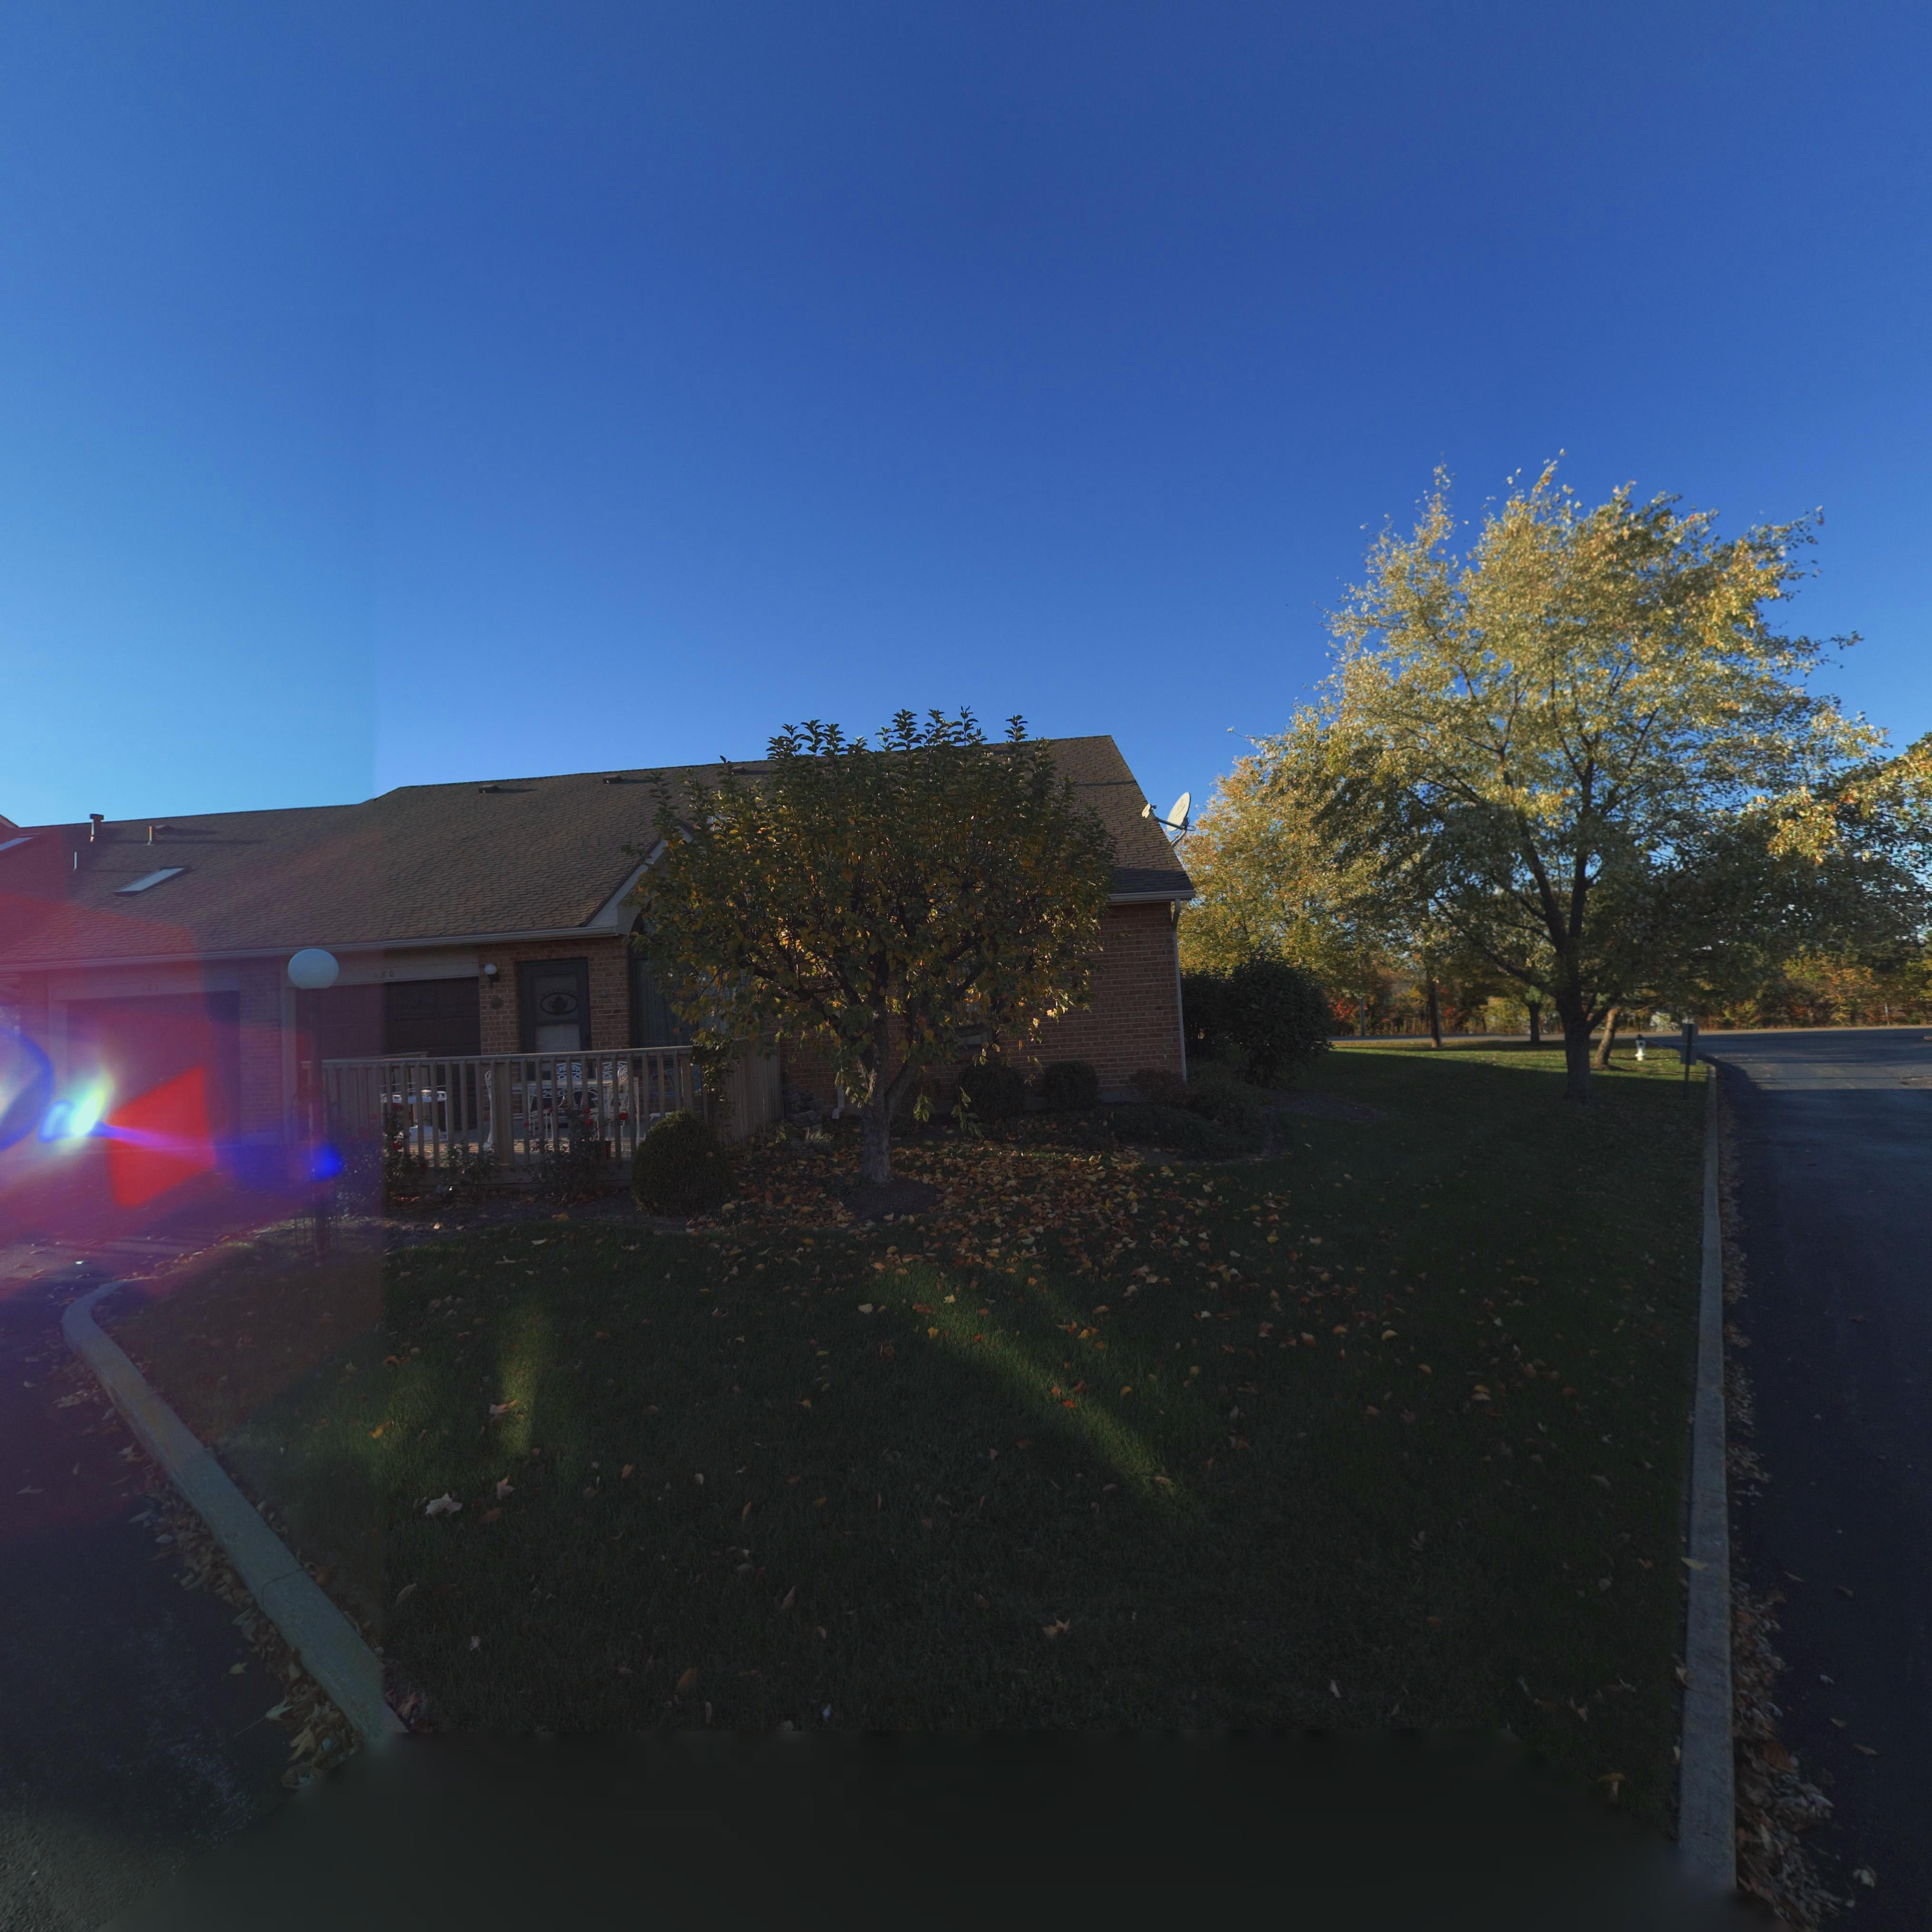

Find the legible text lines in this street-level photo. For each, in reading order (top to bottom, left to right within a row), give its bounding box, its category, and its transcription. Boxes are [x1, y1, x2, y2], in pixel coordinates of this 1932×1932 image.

[374, 968, 396, 980] StreetNumber: 180